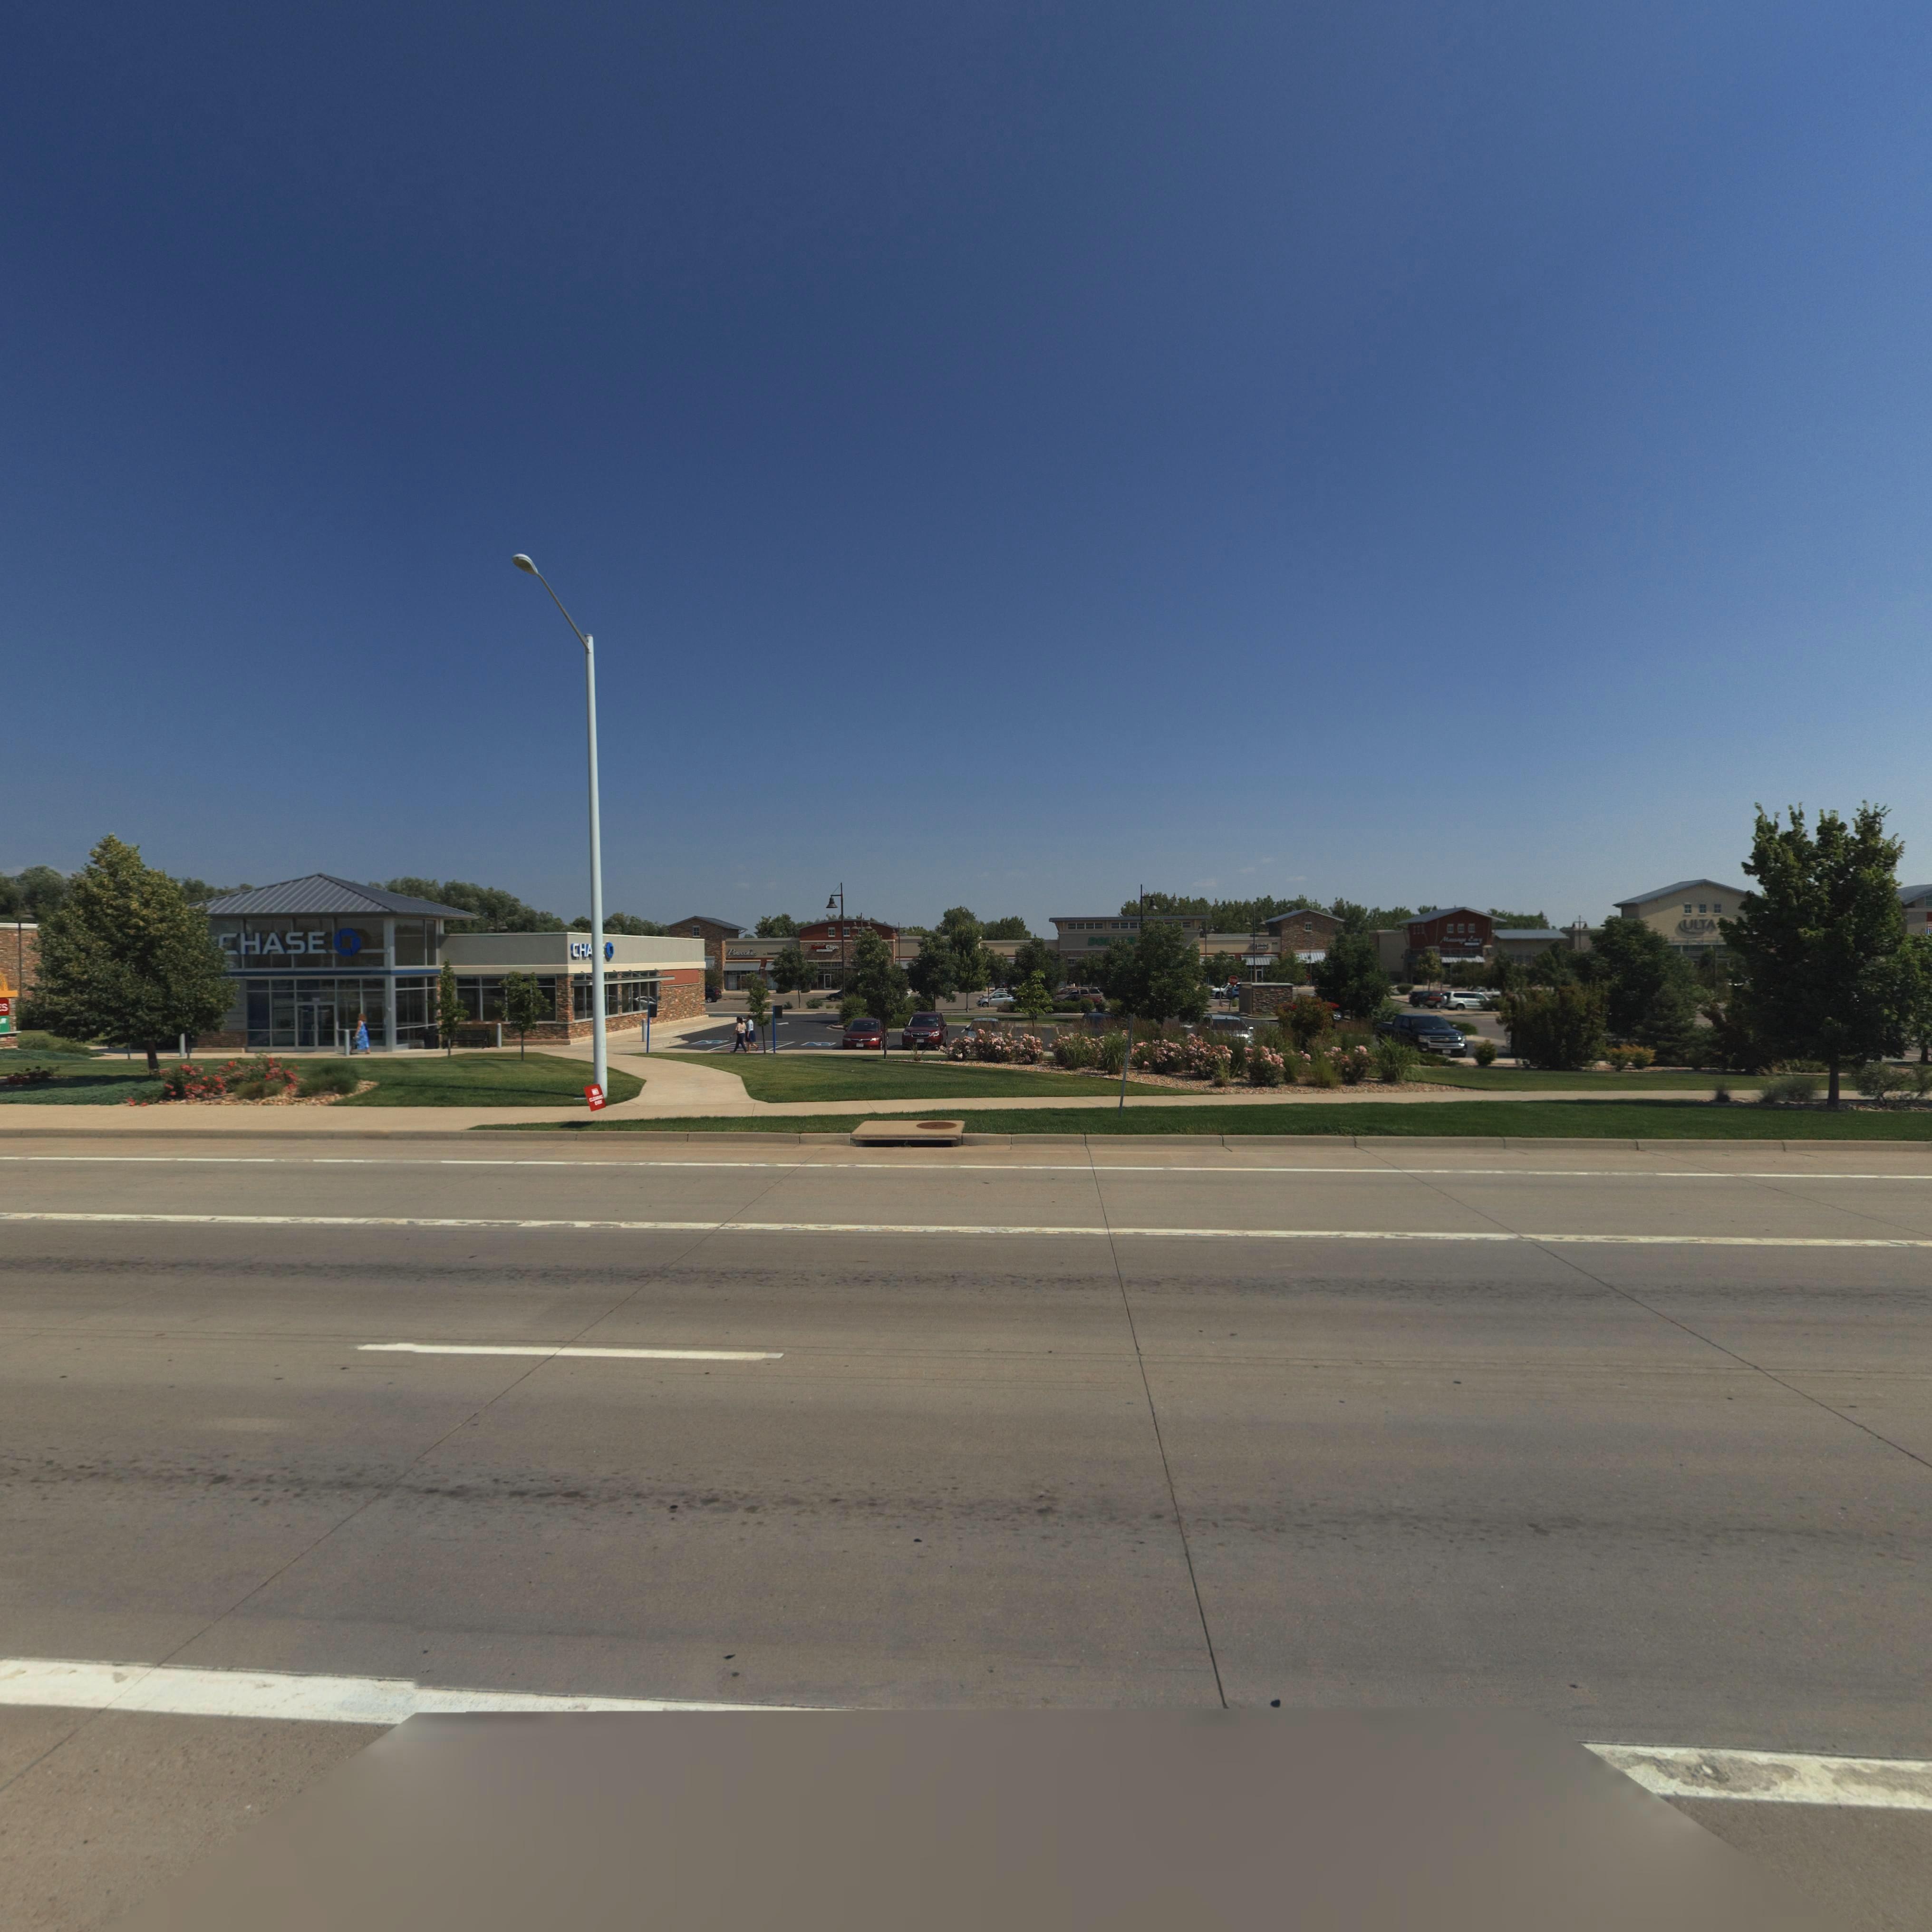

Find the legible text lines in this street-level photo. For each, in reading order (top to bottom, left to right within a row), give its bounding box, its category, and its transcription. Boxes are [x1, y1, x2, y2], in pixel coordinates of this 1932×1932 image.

[1683, 918, 1717, 929] BusinessName: ULTA
[219, 932, 327, 955] BusinessName: CHASE
[573, 943, 591, 957] BusinessName: CHA
[727, 948, 758, 956] BusinessName: Pinnochios
[811, 944, 839, 950] BusinessName: SpeedClips
[1086, 936, 1136, 946] None: DOL**R
[1256, 946, 1268, 950] BusinessName: JOHNS
[1256, 942, 1268, 946] BusinessName: JIMMY
[1439, 935, 1483, 944] BusinessName: Massage Envy